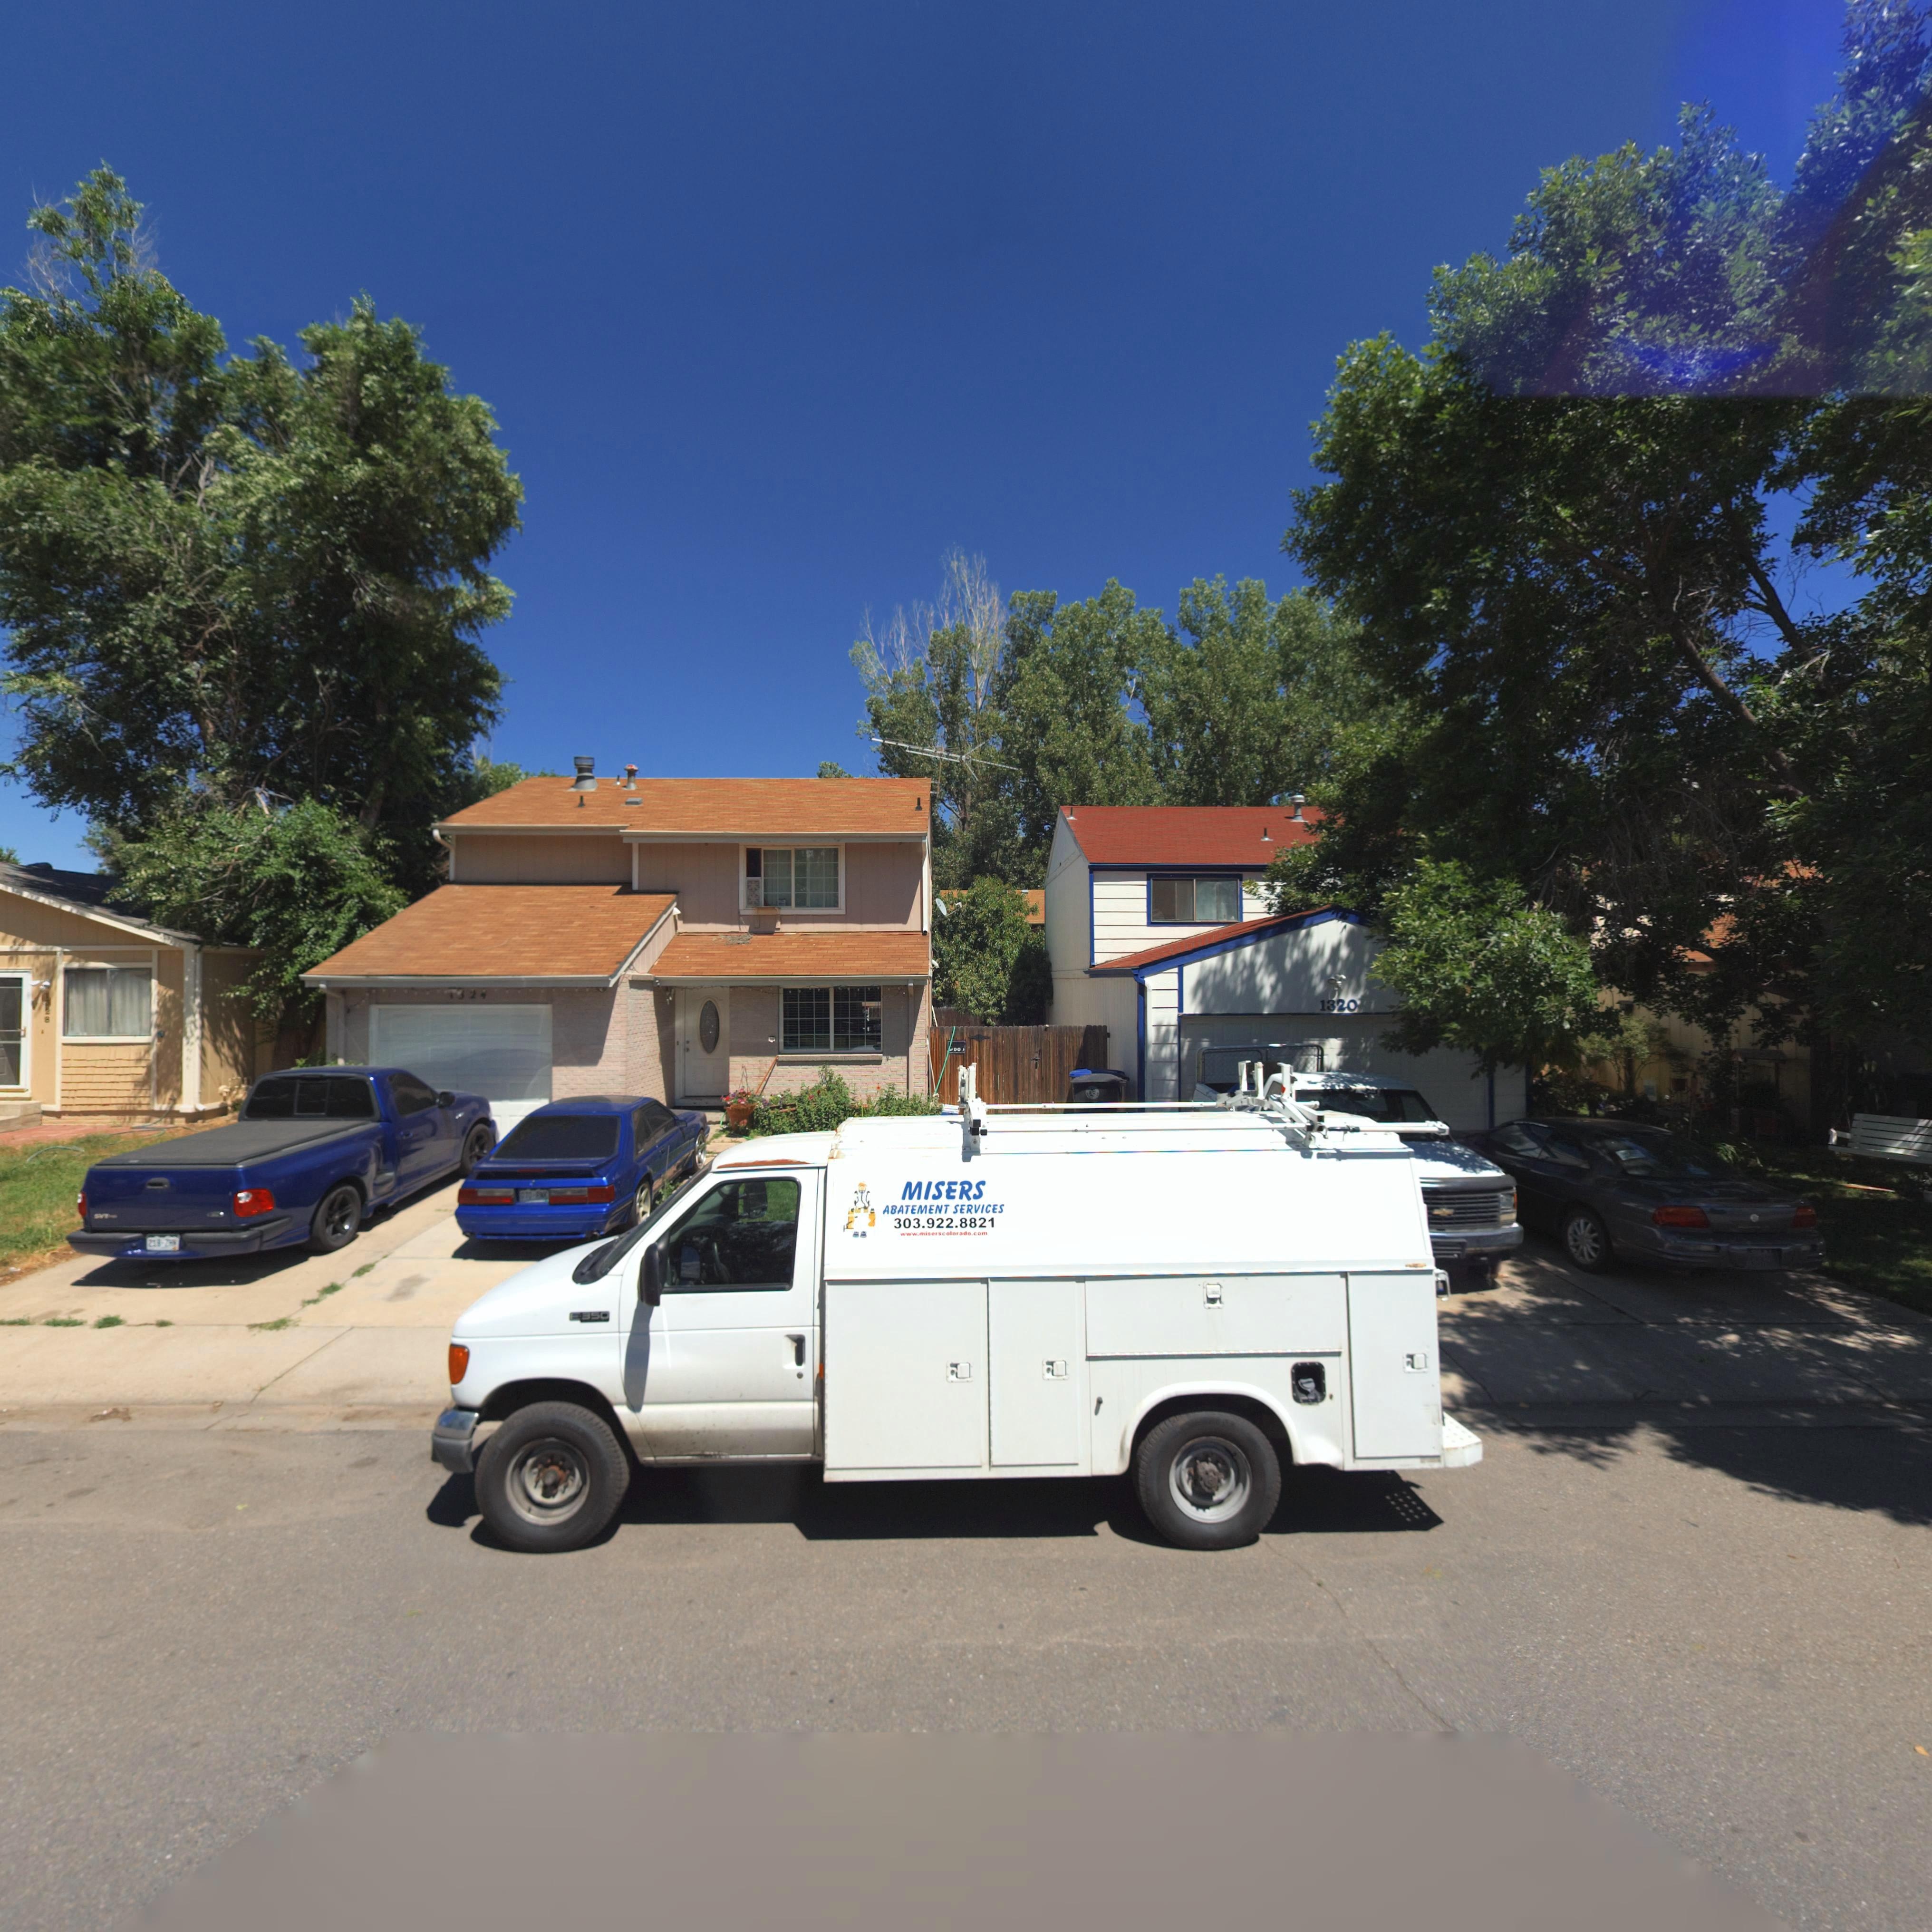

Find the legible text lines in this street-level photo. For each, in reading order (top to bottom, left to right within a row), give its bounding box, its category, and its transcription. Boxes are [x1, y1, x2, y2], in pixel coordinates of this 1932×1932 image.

[449, 989, 487, 1000] StreetNumber: 1***
[44, 991, 50, 1024] StreetNumber: 1328
[1319, 998, 1358, 1012] StreetNumber: 1320